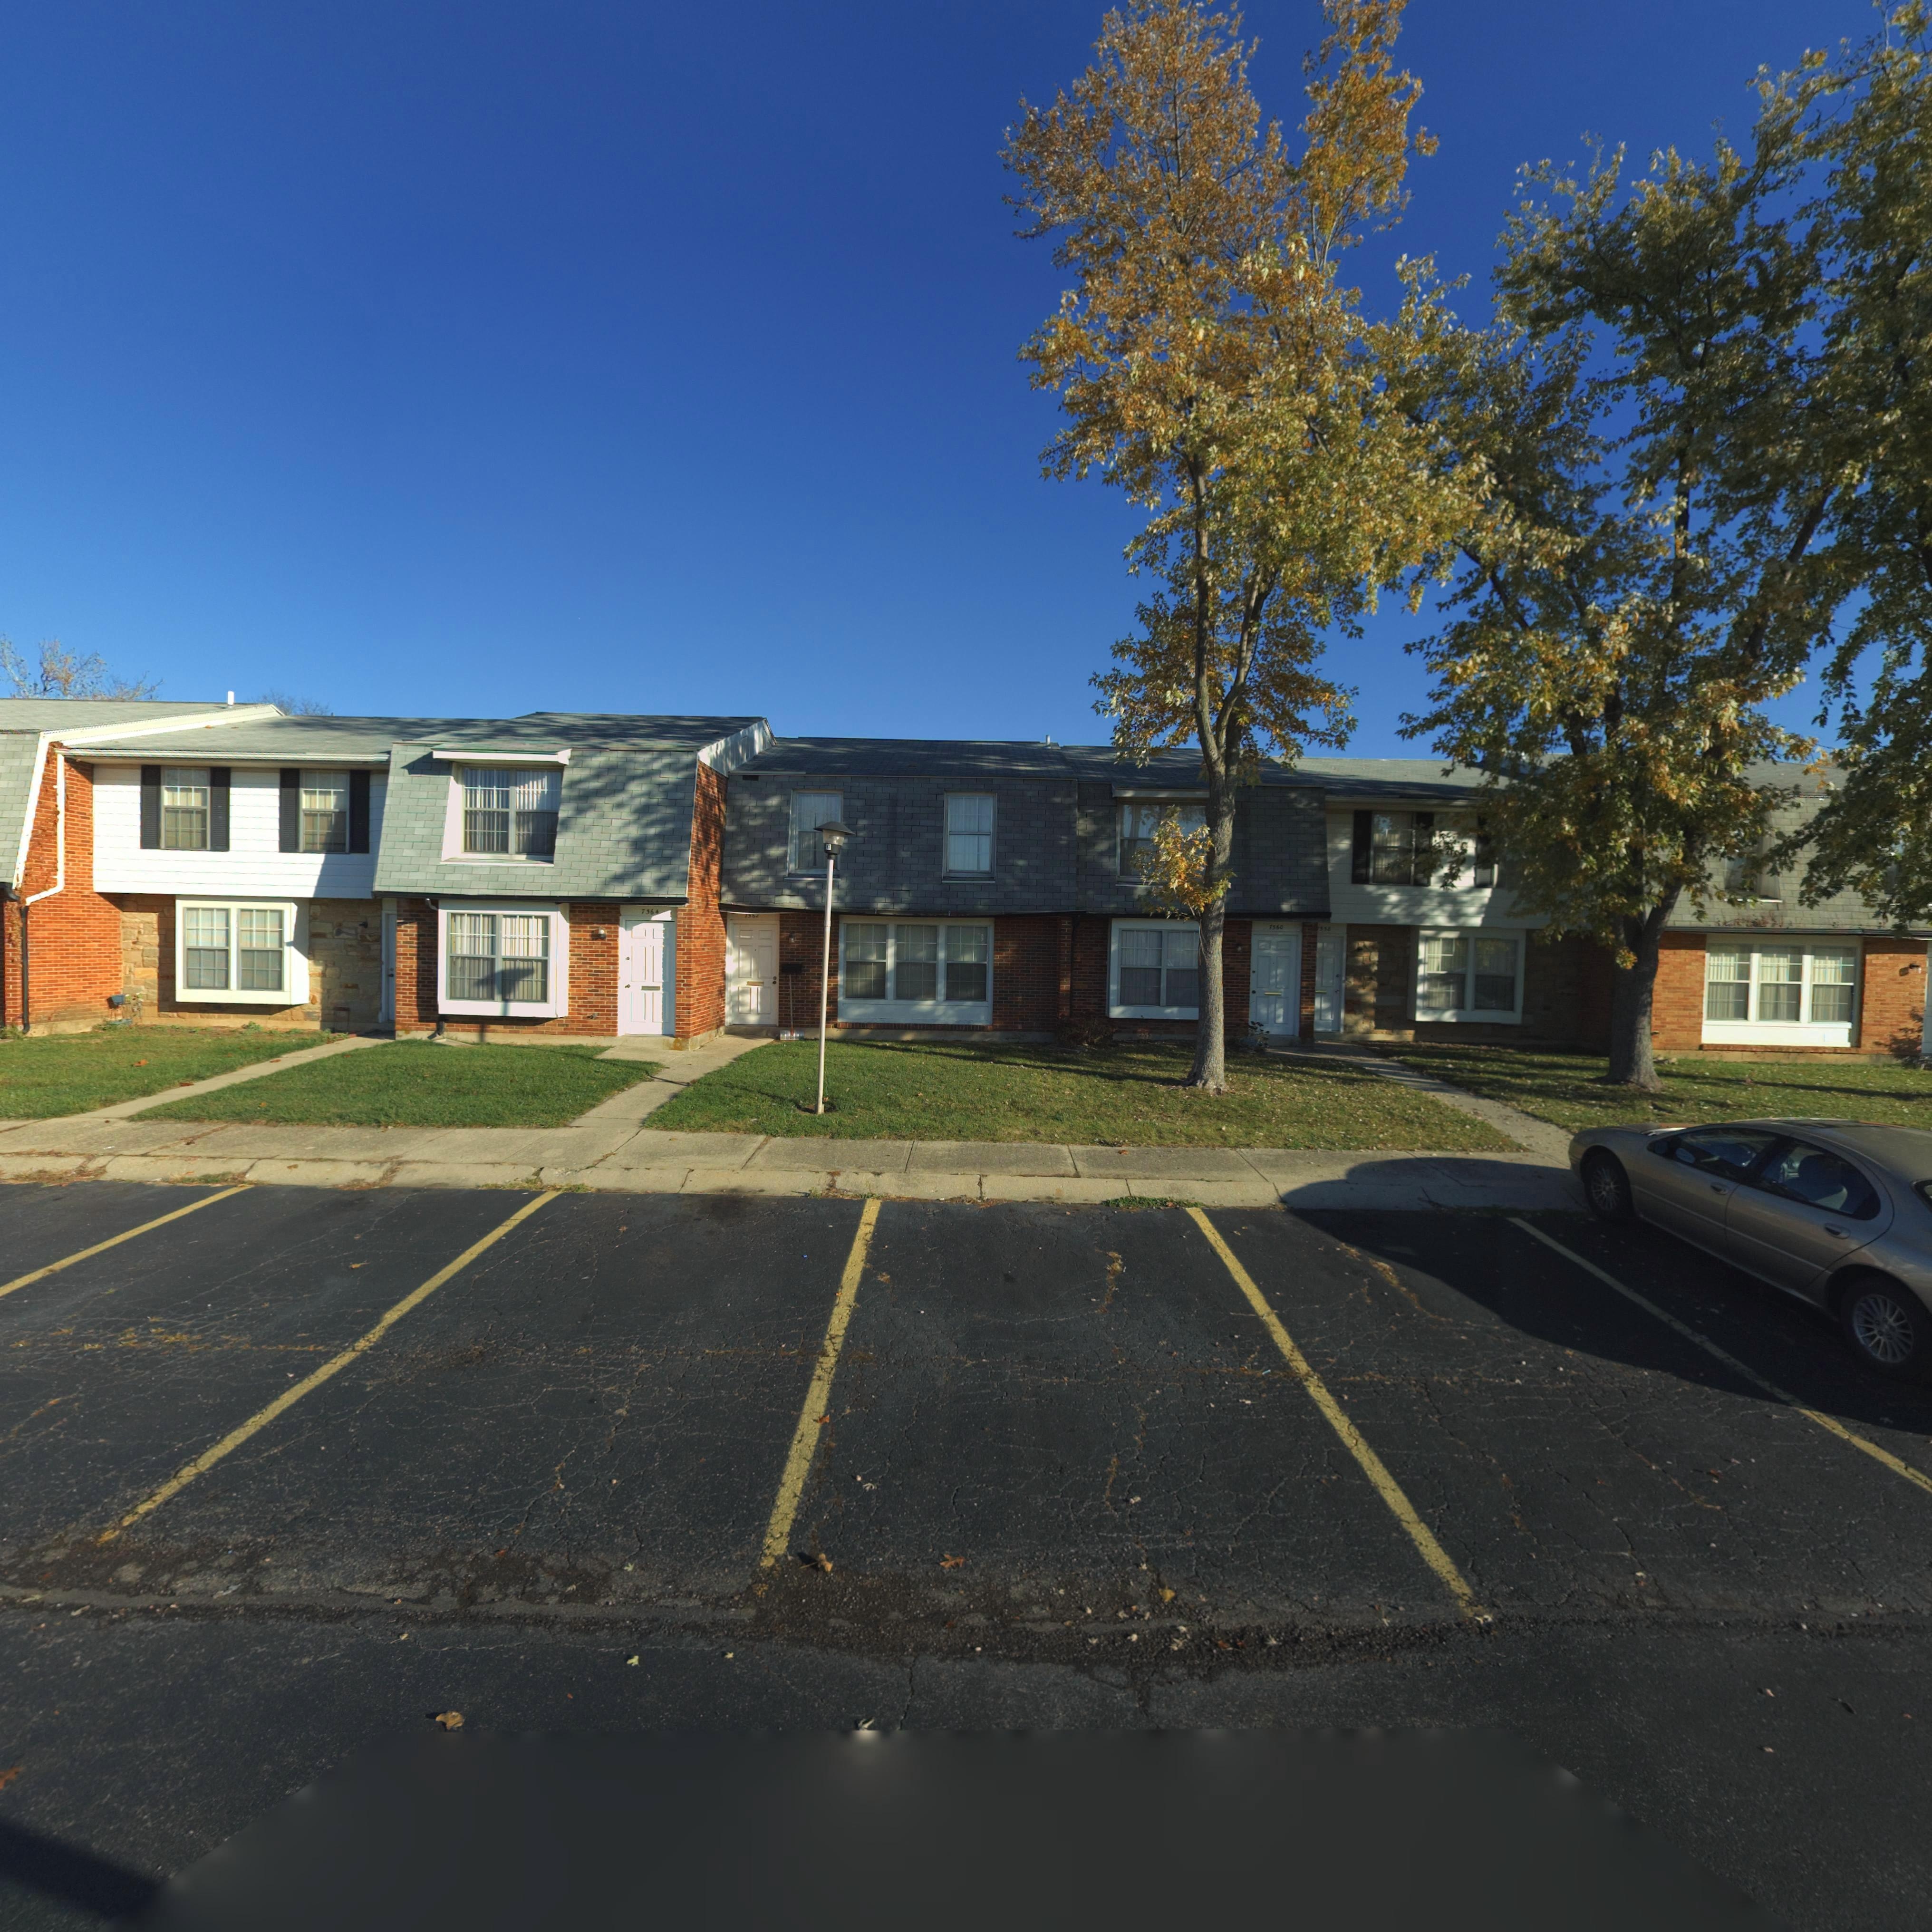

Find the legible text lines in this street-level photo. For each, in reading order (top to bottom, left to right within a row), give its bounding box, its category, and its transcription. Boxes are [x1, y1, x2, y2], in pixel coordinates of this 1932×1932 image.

[640, 907, 660, 916] StreetNumber: 7564
[1268, 923, 1285, 931] StreetNumber: 7560
[1319, 926, 1333, 932] StreetNumber: 5**